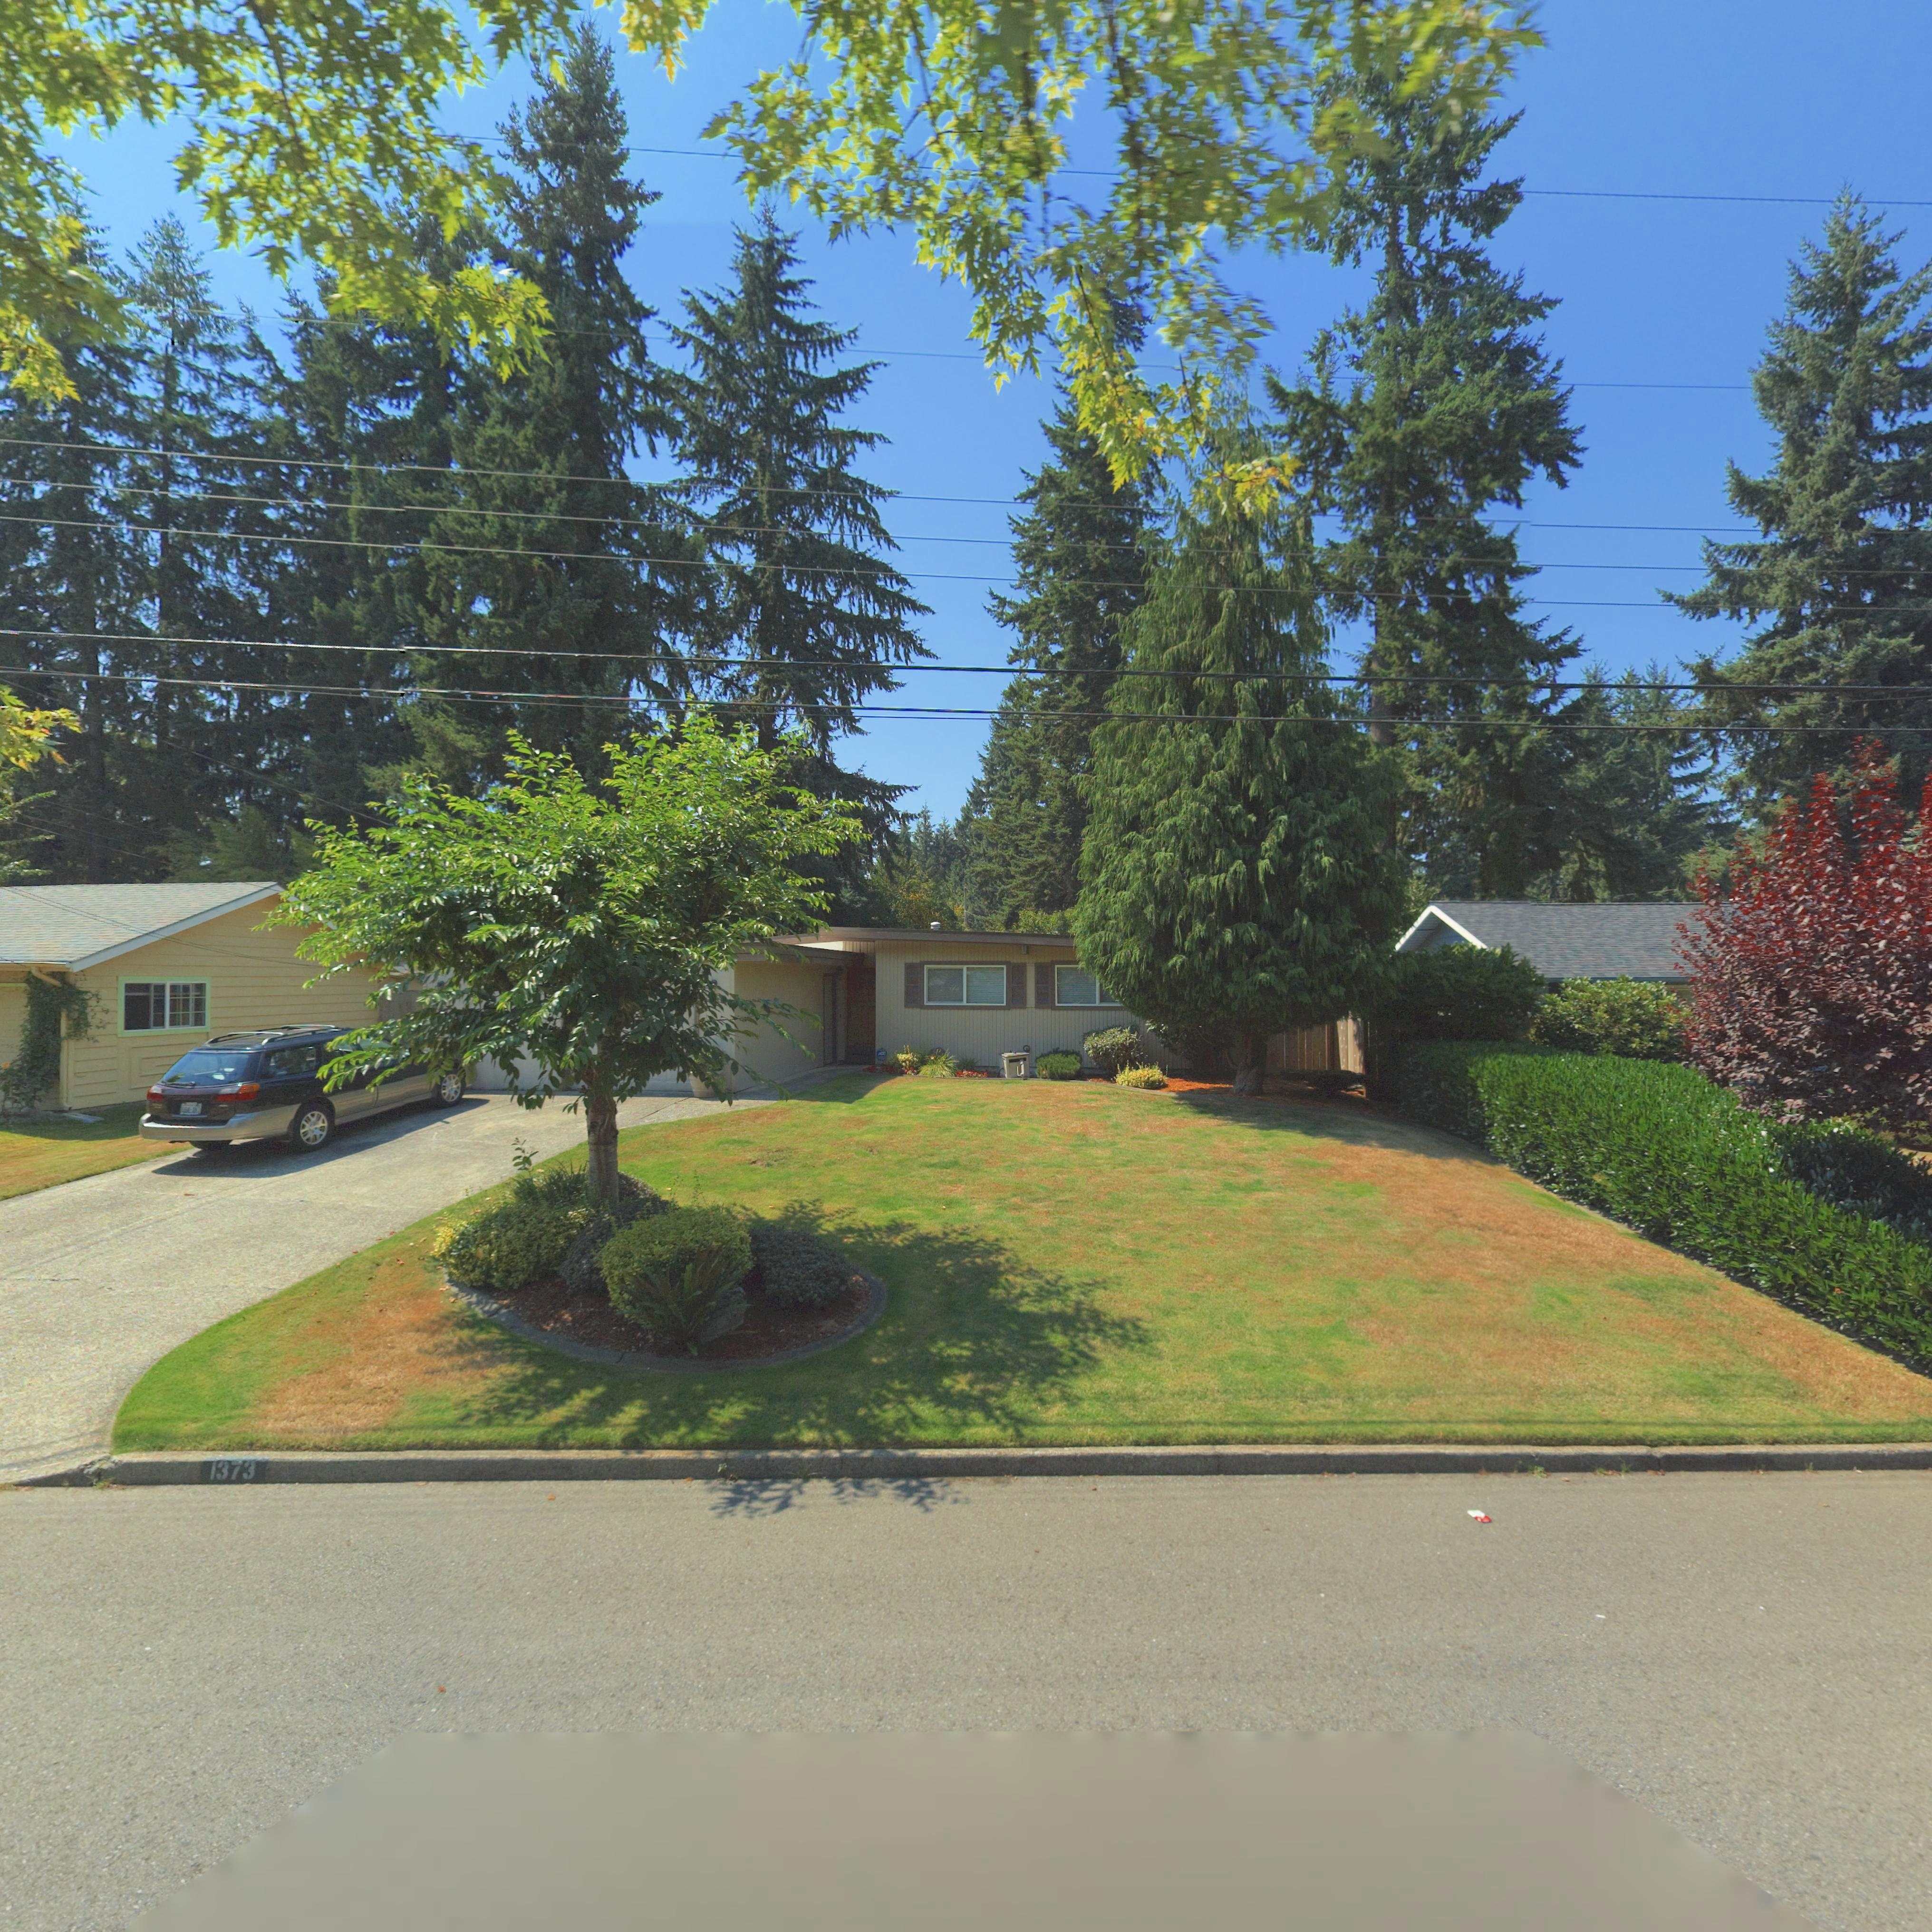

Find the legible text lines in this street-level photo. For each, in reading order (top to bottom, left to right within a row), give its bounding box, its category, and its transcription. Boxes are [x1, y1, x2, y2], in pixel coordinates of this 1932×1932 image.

[210, 1460, 257, 1479] StreetNumber: 1373